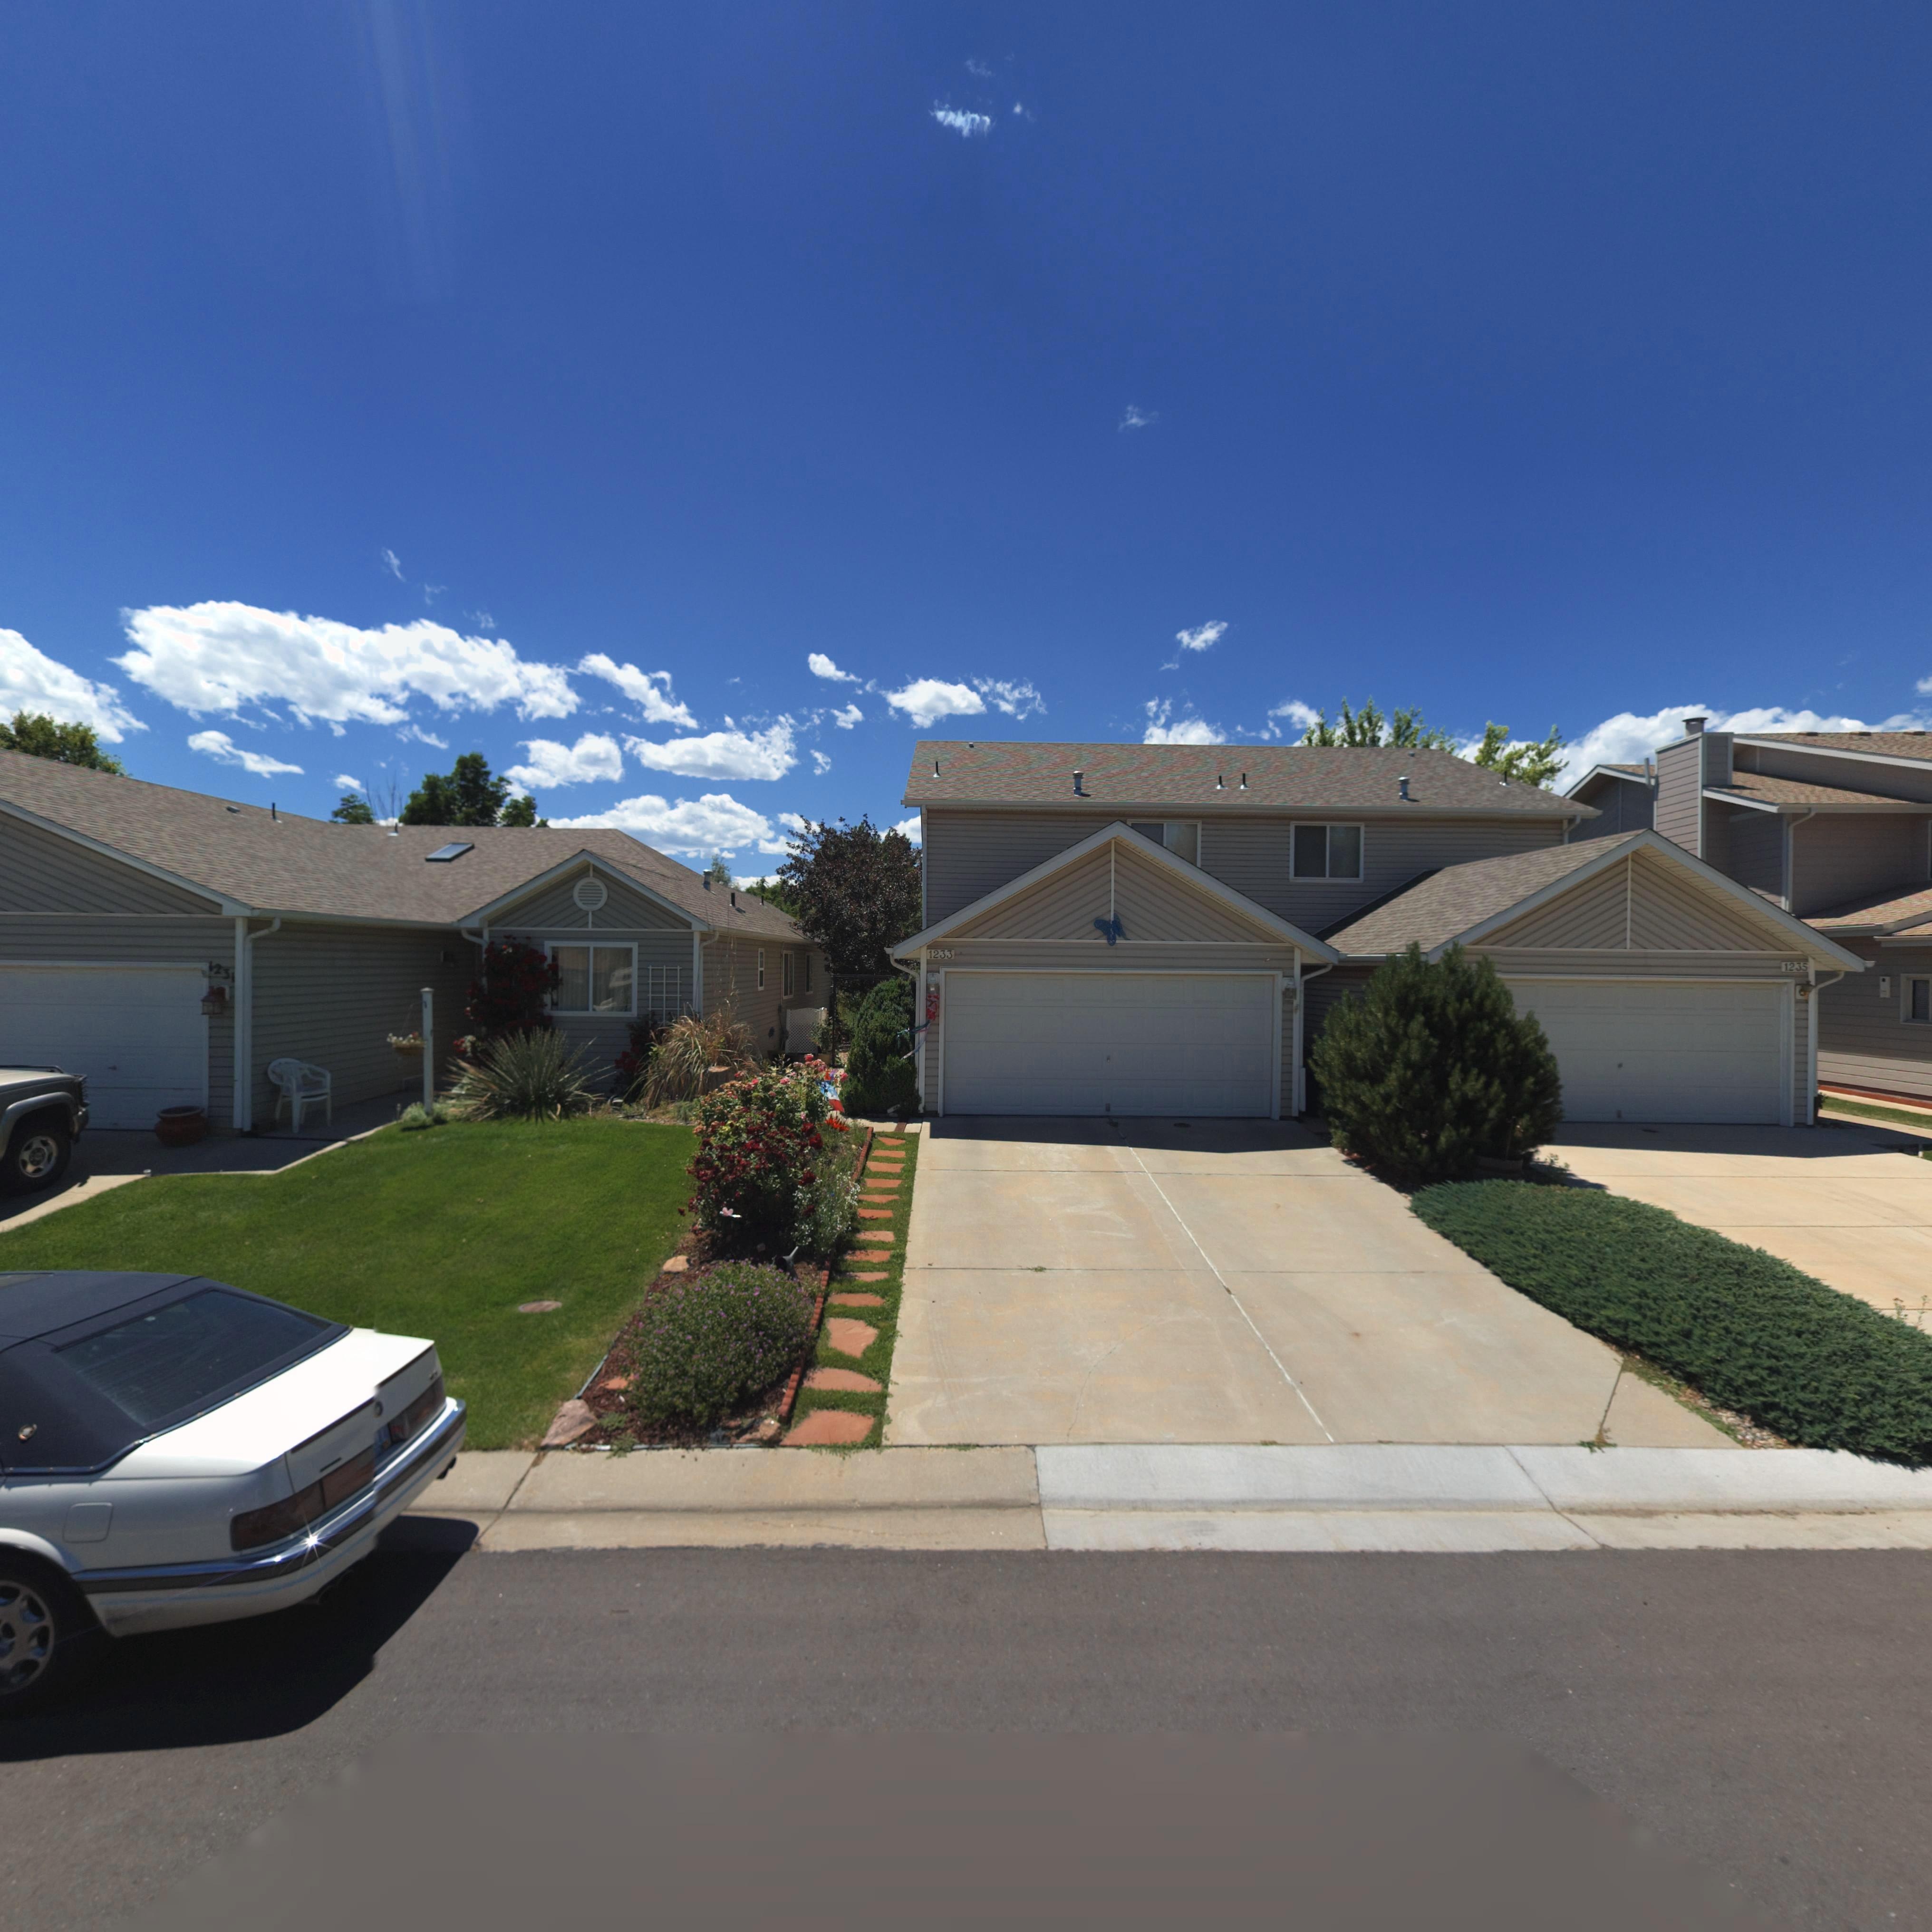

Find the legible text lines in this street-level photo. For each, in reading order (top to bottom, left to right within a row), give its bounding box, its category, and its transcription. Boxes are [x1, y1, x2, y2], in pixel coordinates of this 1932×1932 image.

[928, 949, 953, 959] StreetNumber: 1233
[207, 959, 235, 984] StreetNumber: 1231
[1784, 962, 1808, 972] StreetNumber: 1235